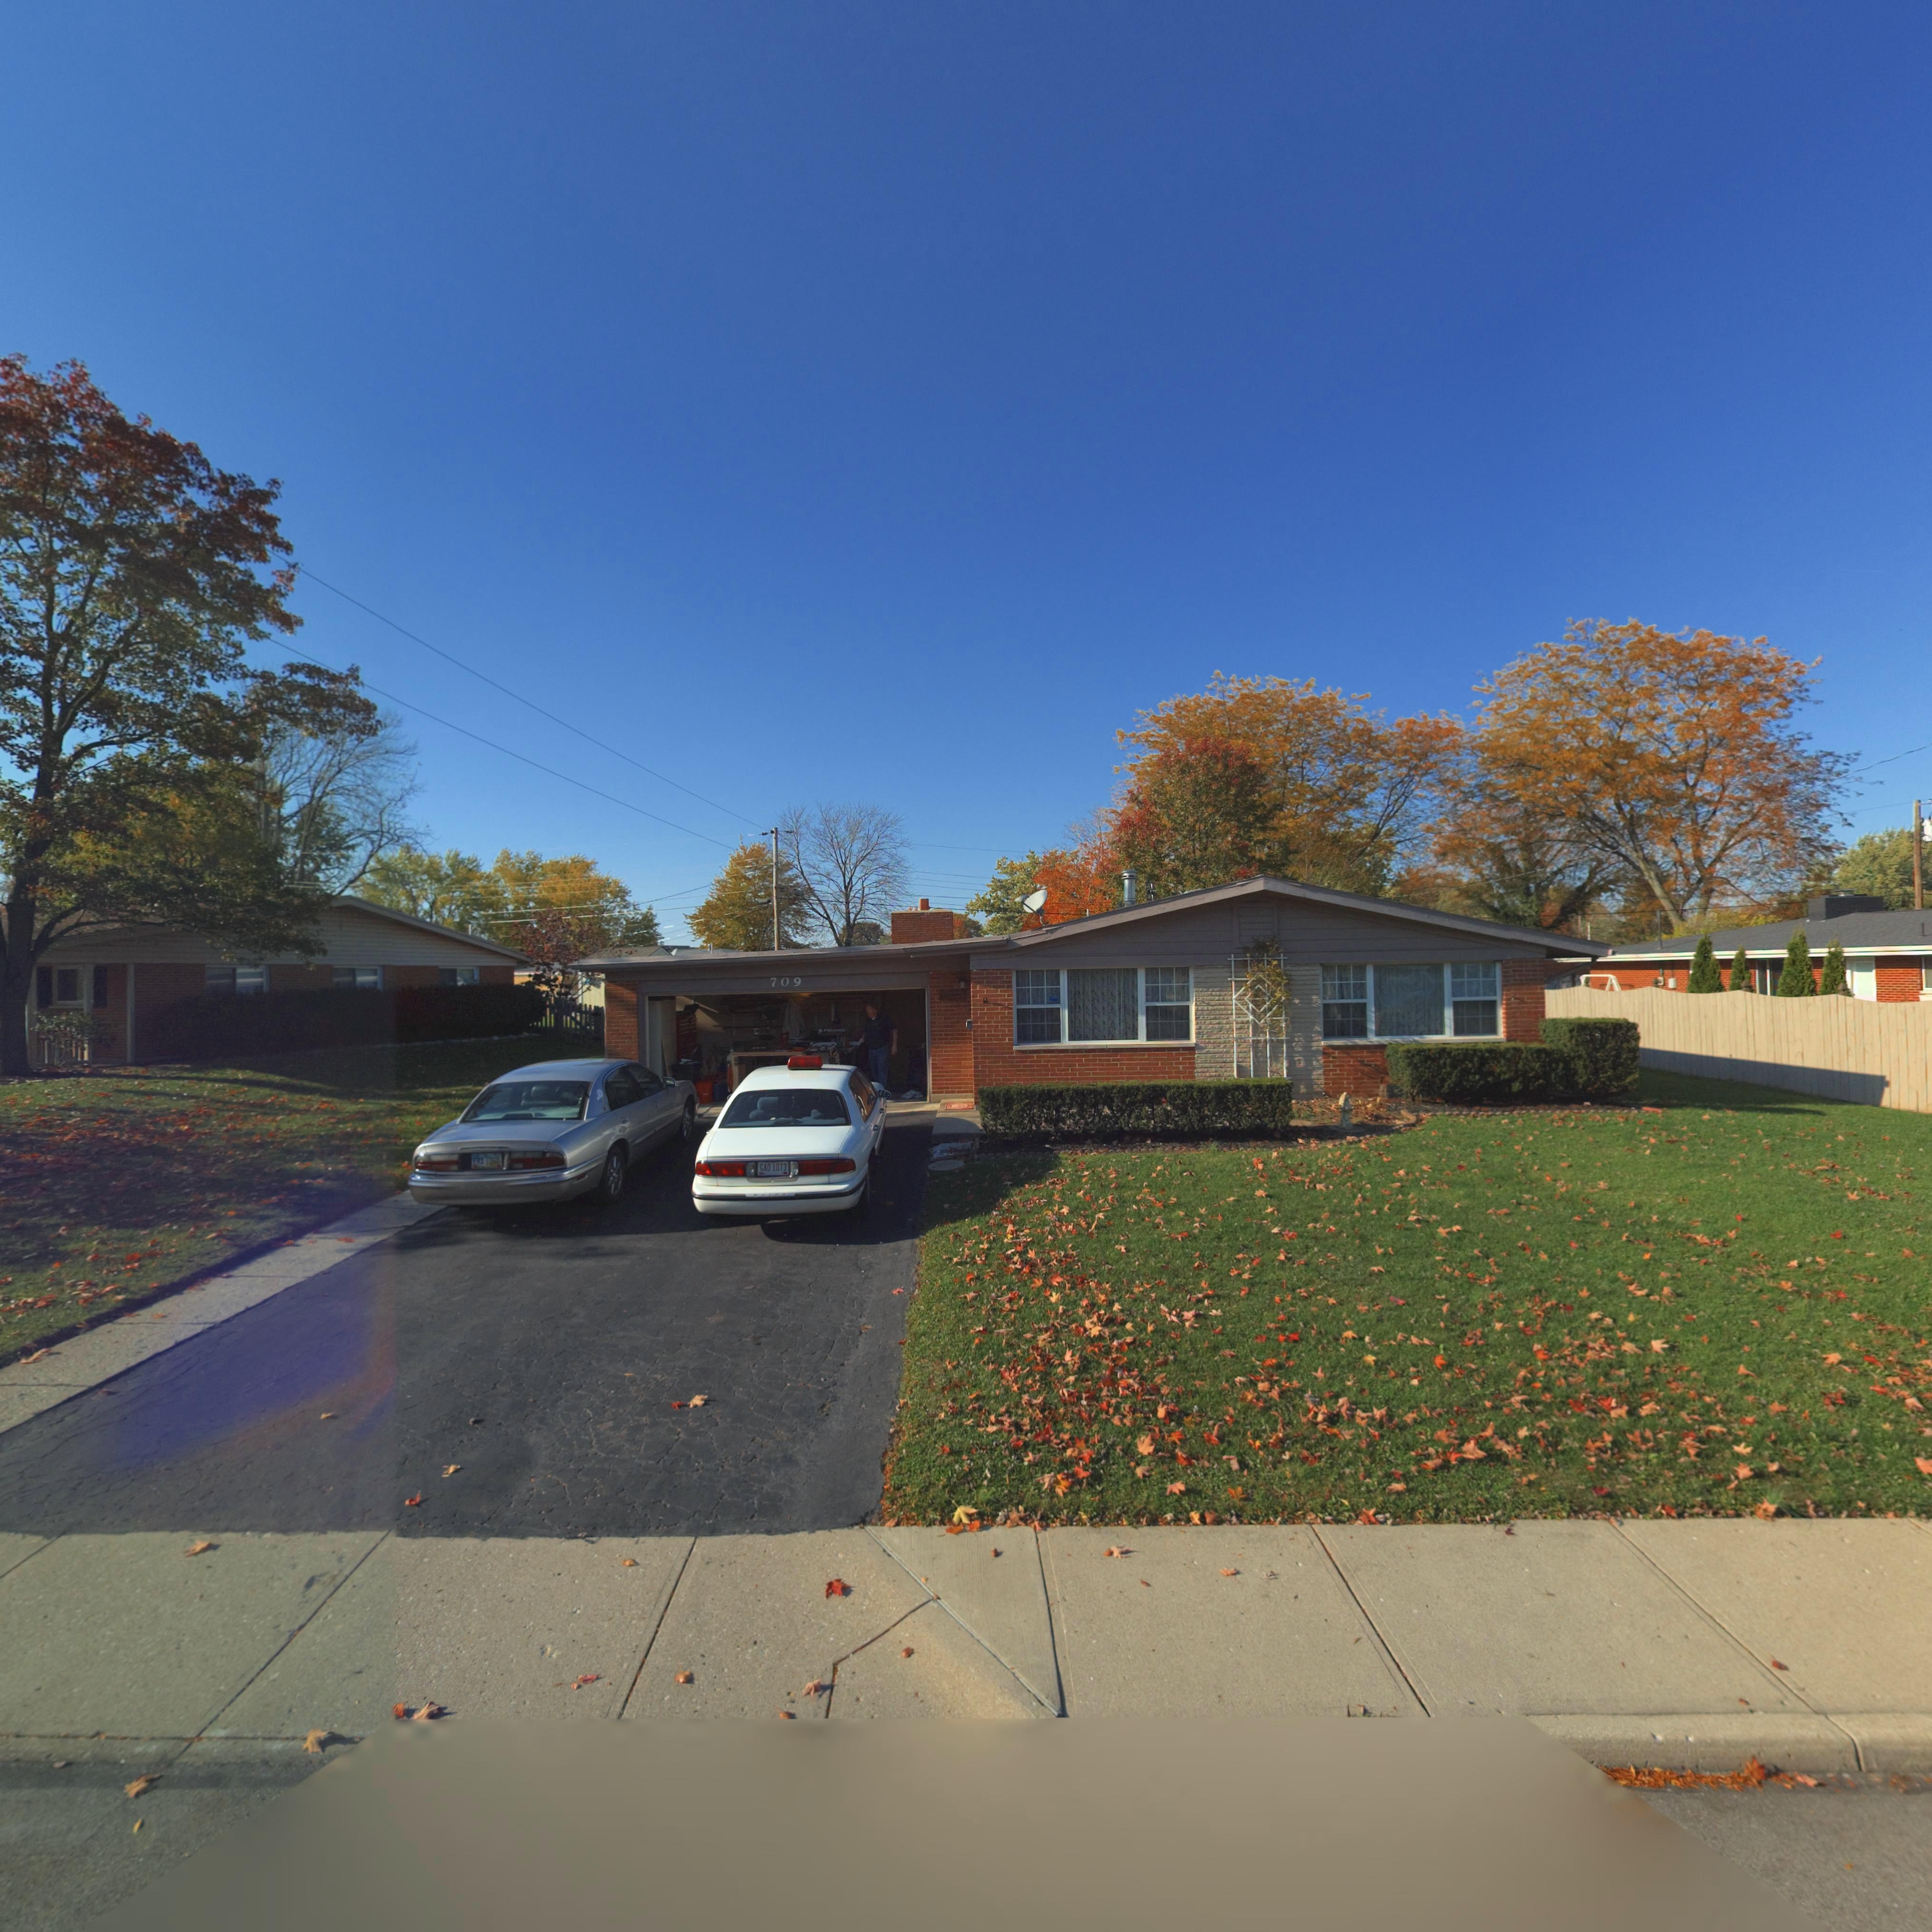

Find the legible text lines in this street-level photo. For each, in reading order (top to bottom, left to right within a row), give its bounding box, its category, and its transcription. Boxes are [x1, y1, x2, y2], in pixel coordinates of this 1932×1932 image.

[769, 976, 802, 987] StreetNumber: 709